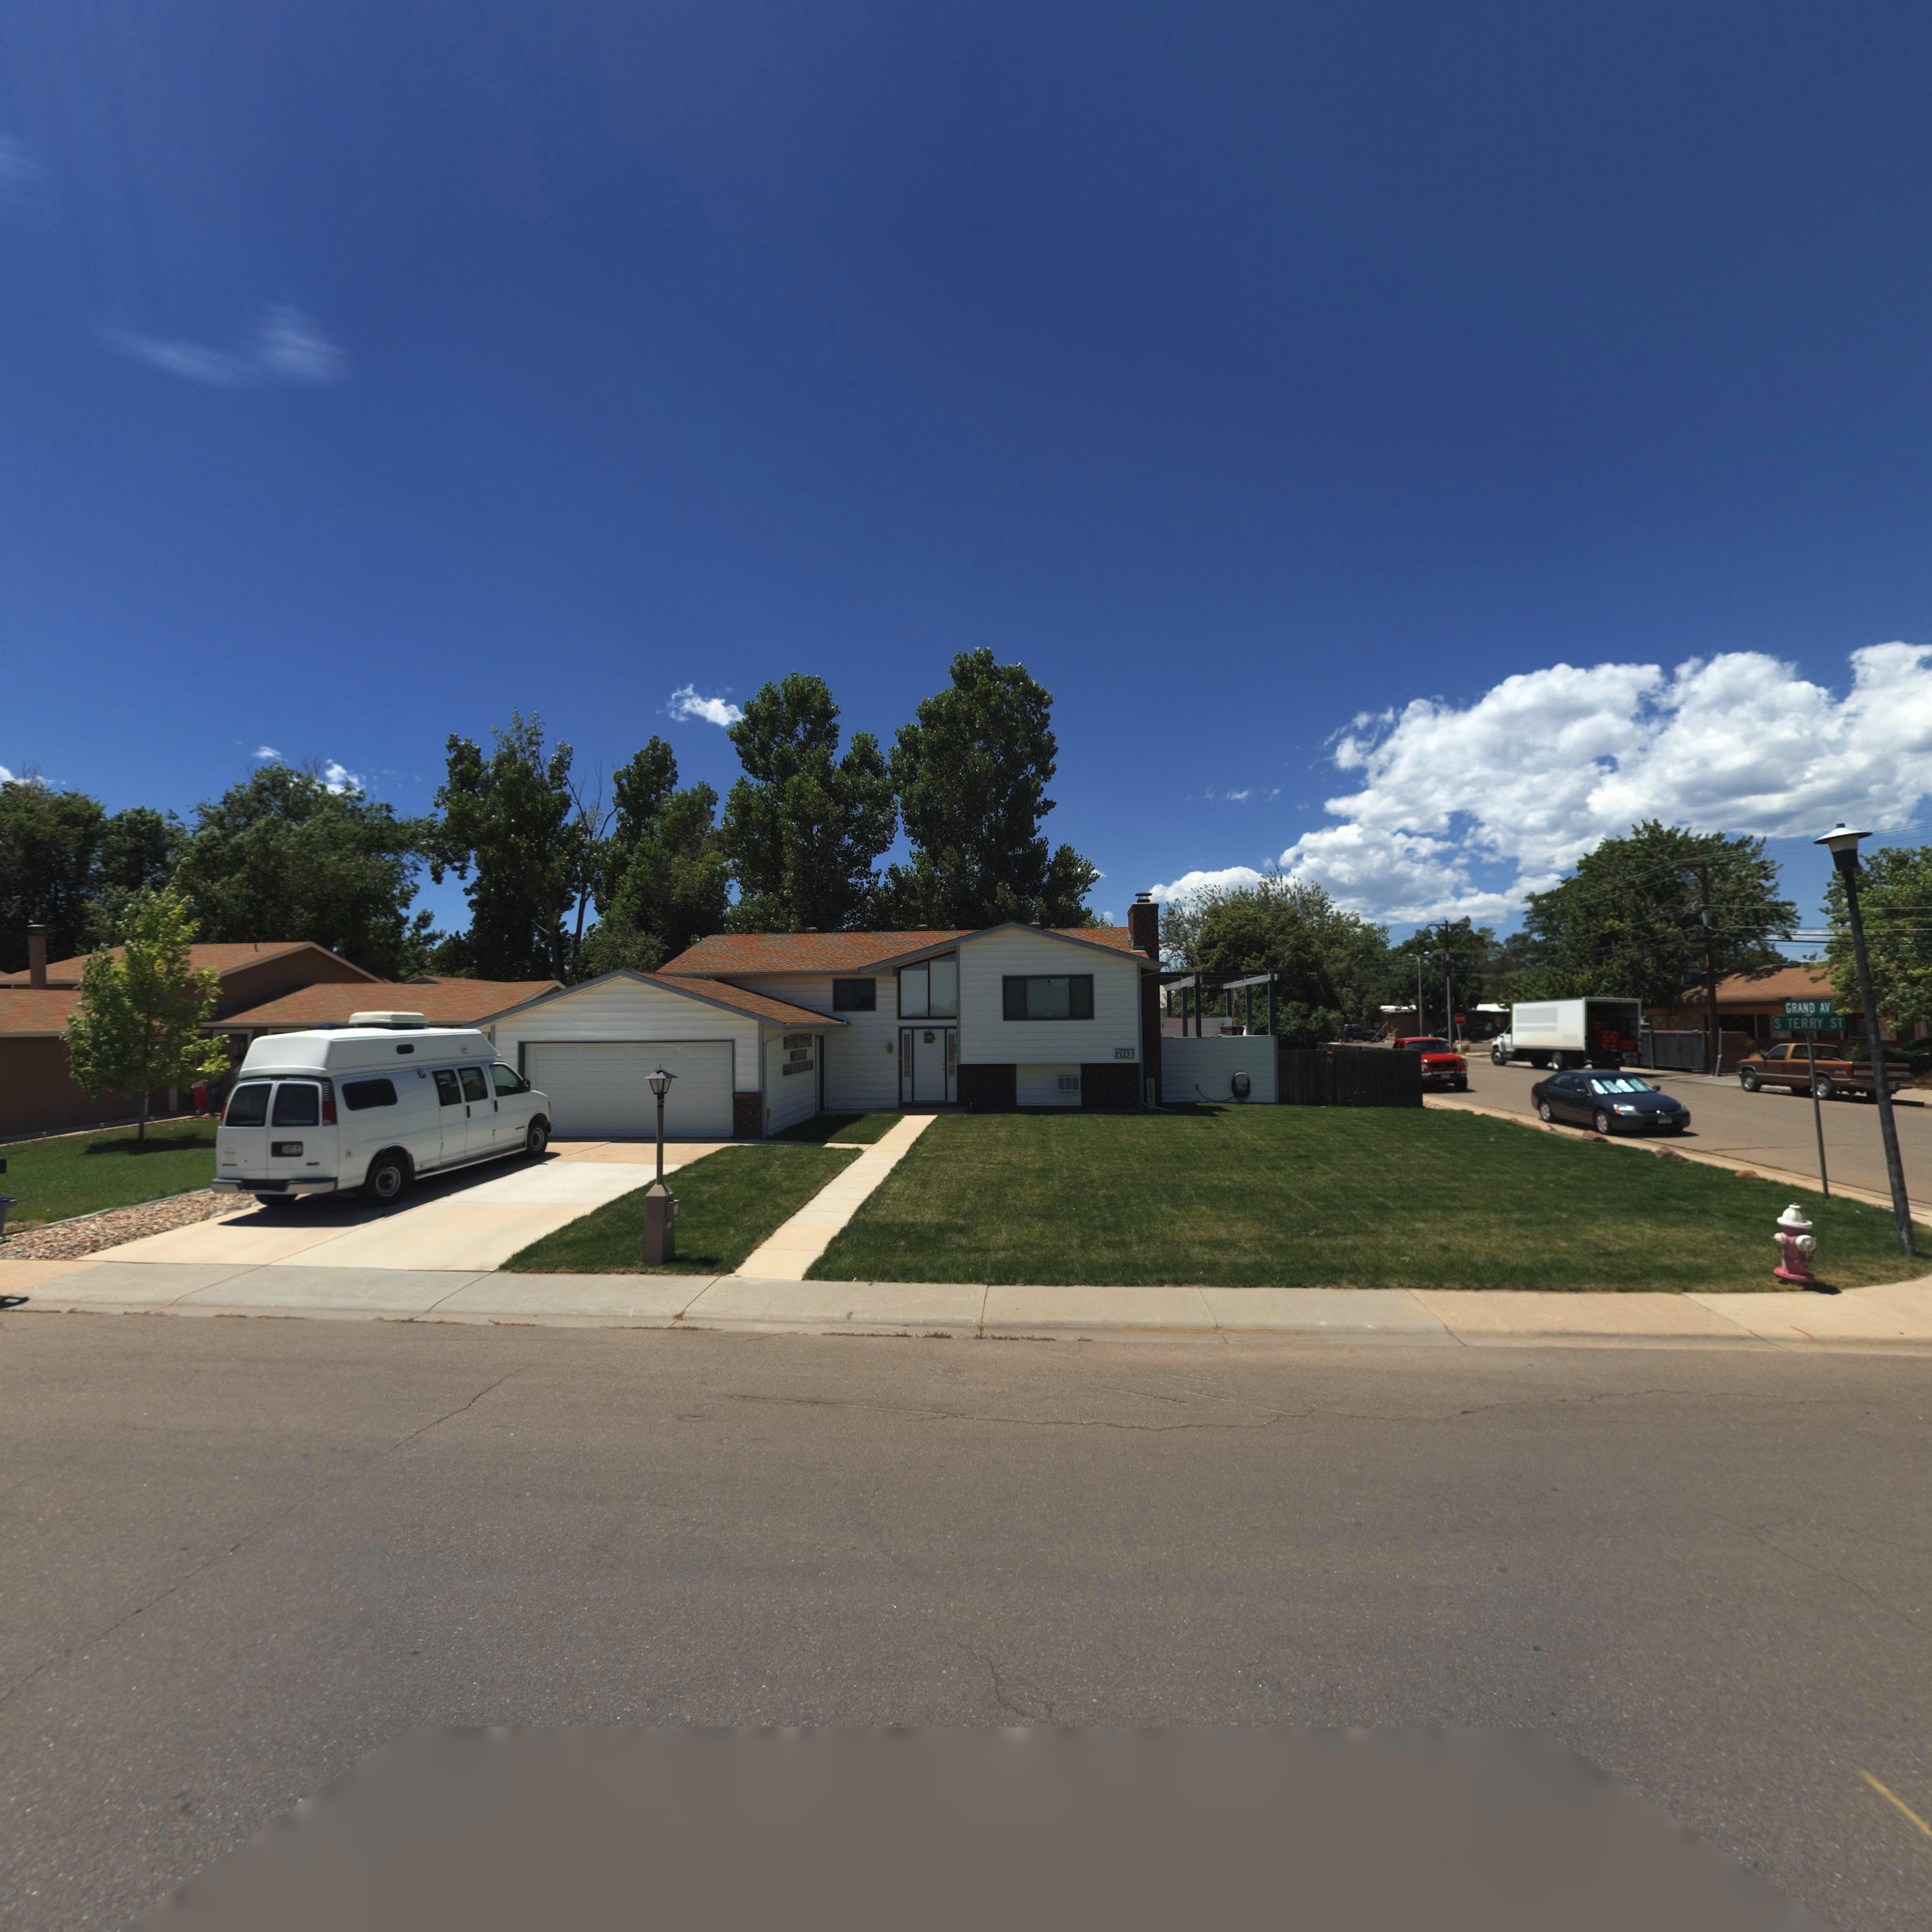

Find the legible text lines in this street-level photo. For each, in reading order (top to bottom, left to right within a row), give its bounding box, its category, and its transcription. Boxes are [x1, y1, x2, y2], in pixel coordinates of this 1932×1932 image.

[1785, 1001, 1830, 1014] StreetName: GRAND AV
[1773, 1017, 1844, 1030] StreetName: S TERRY ST
[1116, 1049, 1133, 1058] StreetNumber: 701